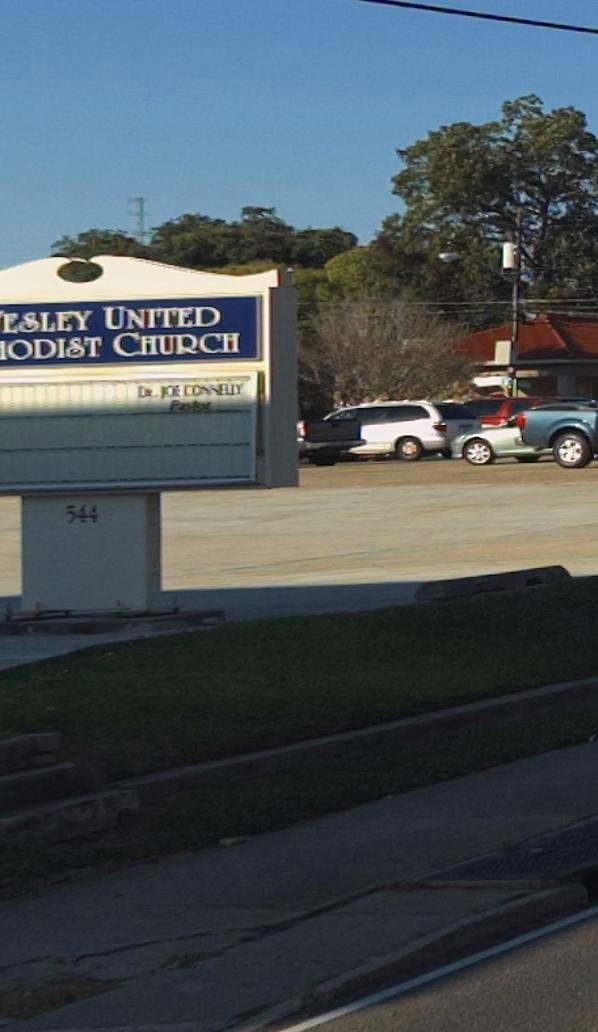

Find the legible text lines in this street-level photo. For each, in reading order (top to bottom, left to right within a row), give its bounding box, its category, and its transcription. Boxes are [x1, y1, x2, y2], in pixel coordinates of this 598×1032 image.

[1, 302, 225, 337] BusinessName: ESLEY UNITED
[3, 330, 244, 365] BusinessName: ODIST CHURCH
[133, 380, 249, 403] None: Dr. JOE CONNELLY
[164, 397, 217, 417] None: Pastor
[62, 501, 102, 529] StreetNumber: 544